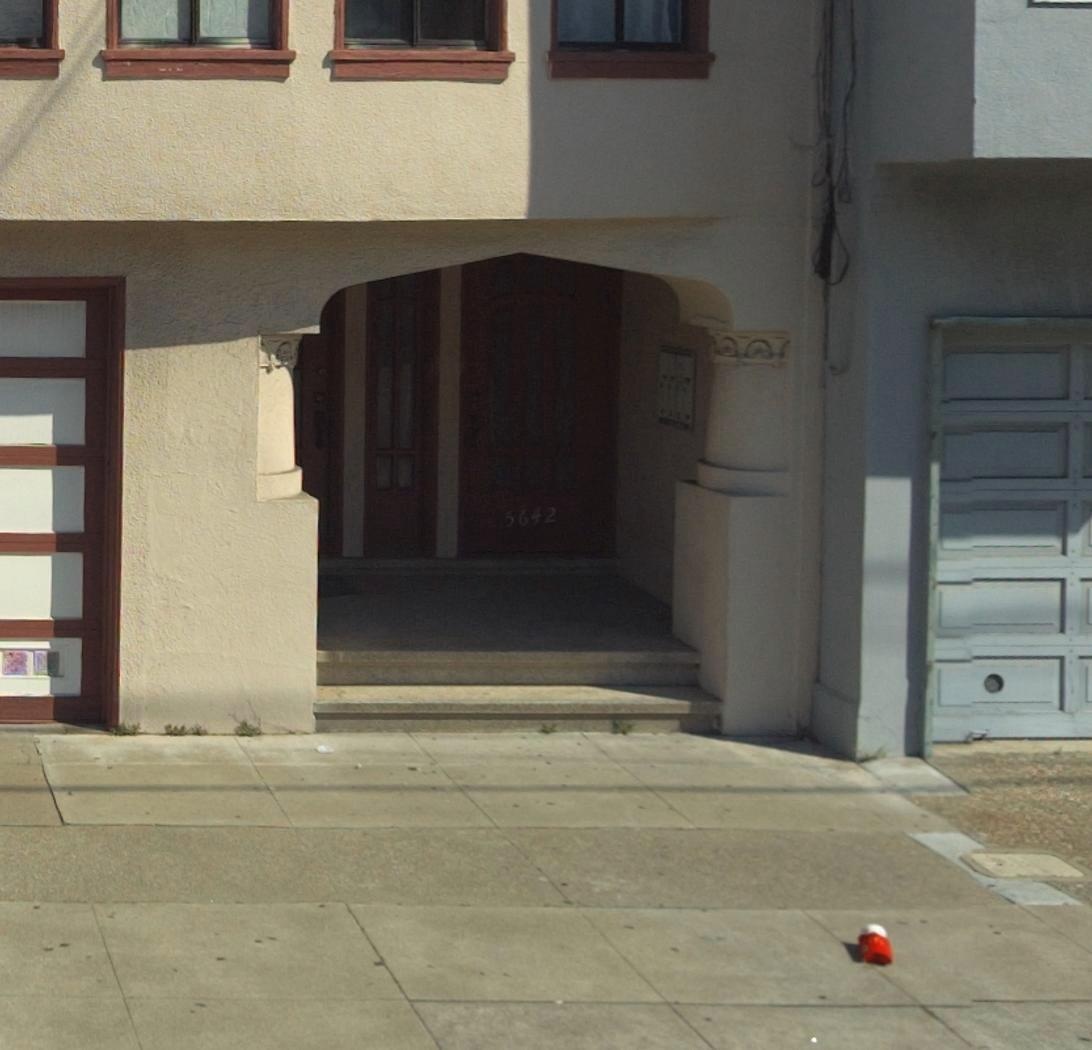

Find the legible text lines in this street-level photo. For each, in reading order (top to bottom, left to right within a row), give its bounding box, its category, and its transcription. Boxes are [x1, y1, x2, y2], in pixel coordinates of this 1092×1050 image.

[502, 504, 558, 530] StreetNumber: 5642